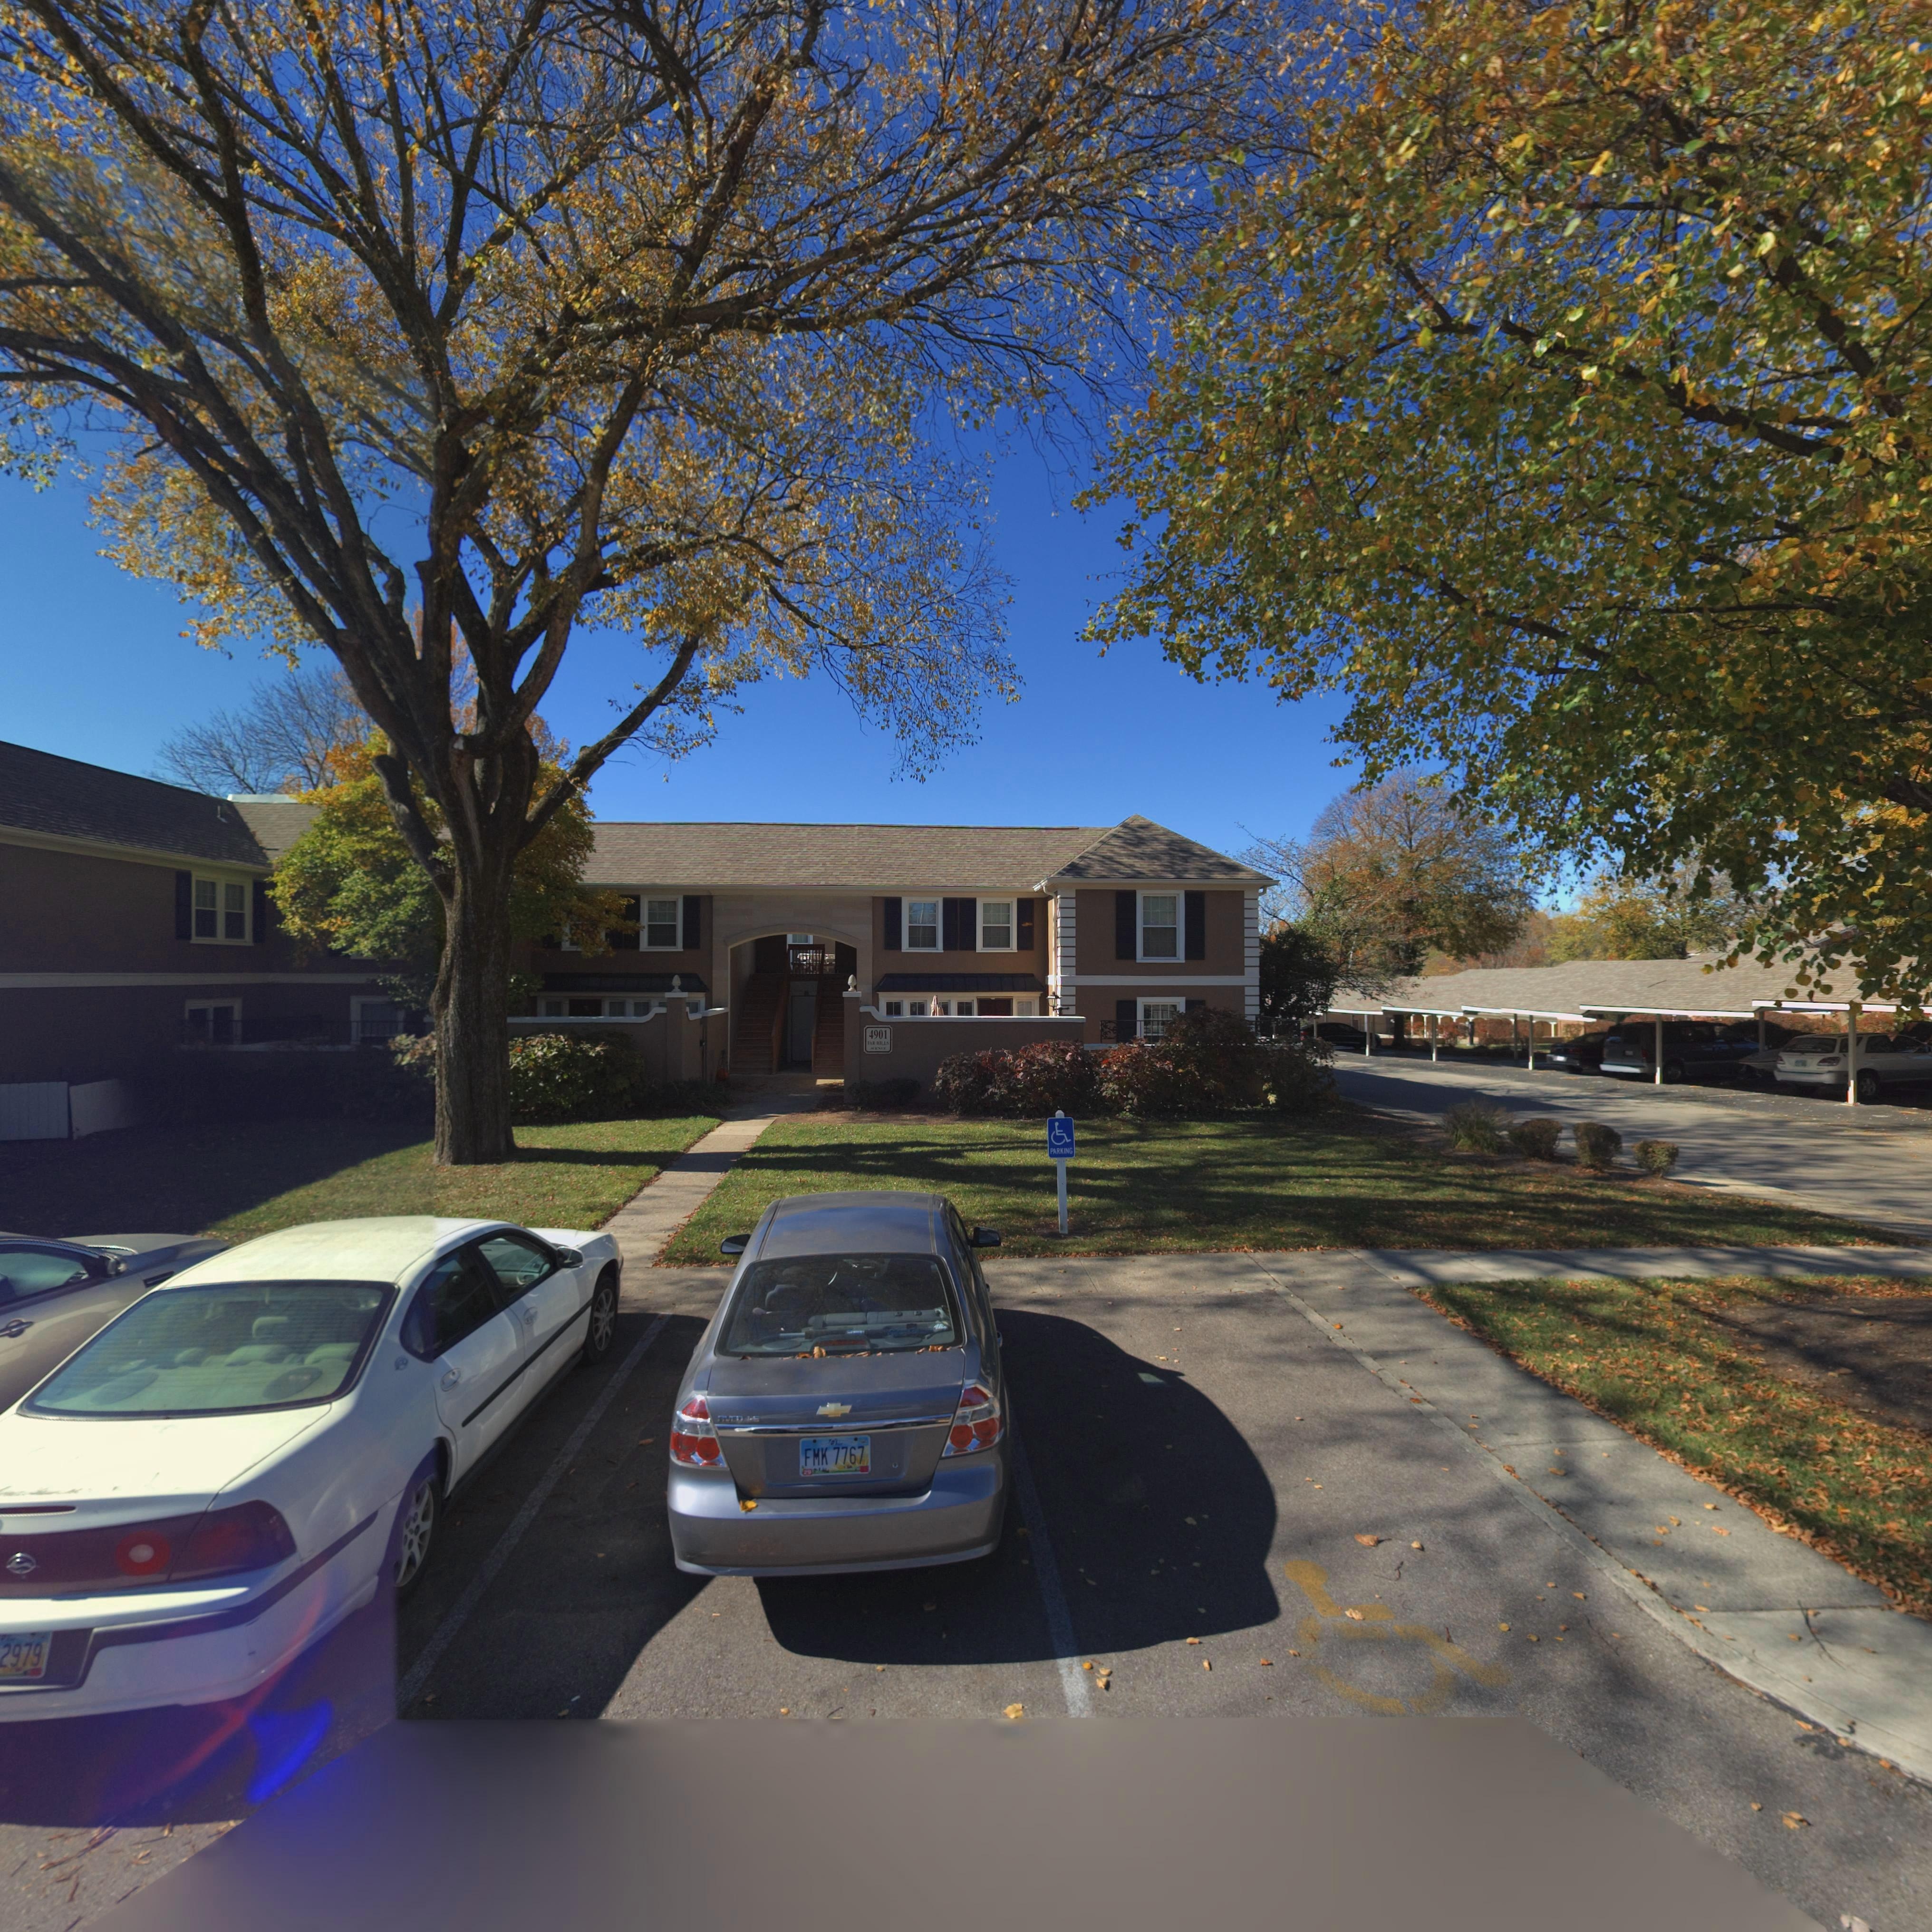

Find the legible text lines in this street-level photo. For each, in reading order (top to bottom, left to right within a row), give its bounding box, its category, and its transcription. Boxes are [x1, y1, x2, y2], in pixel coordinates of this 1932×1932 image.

[868, 1029, 888, 1040] StreetNumber: 4901